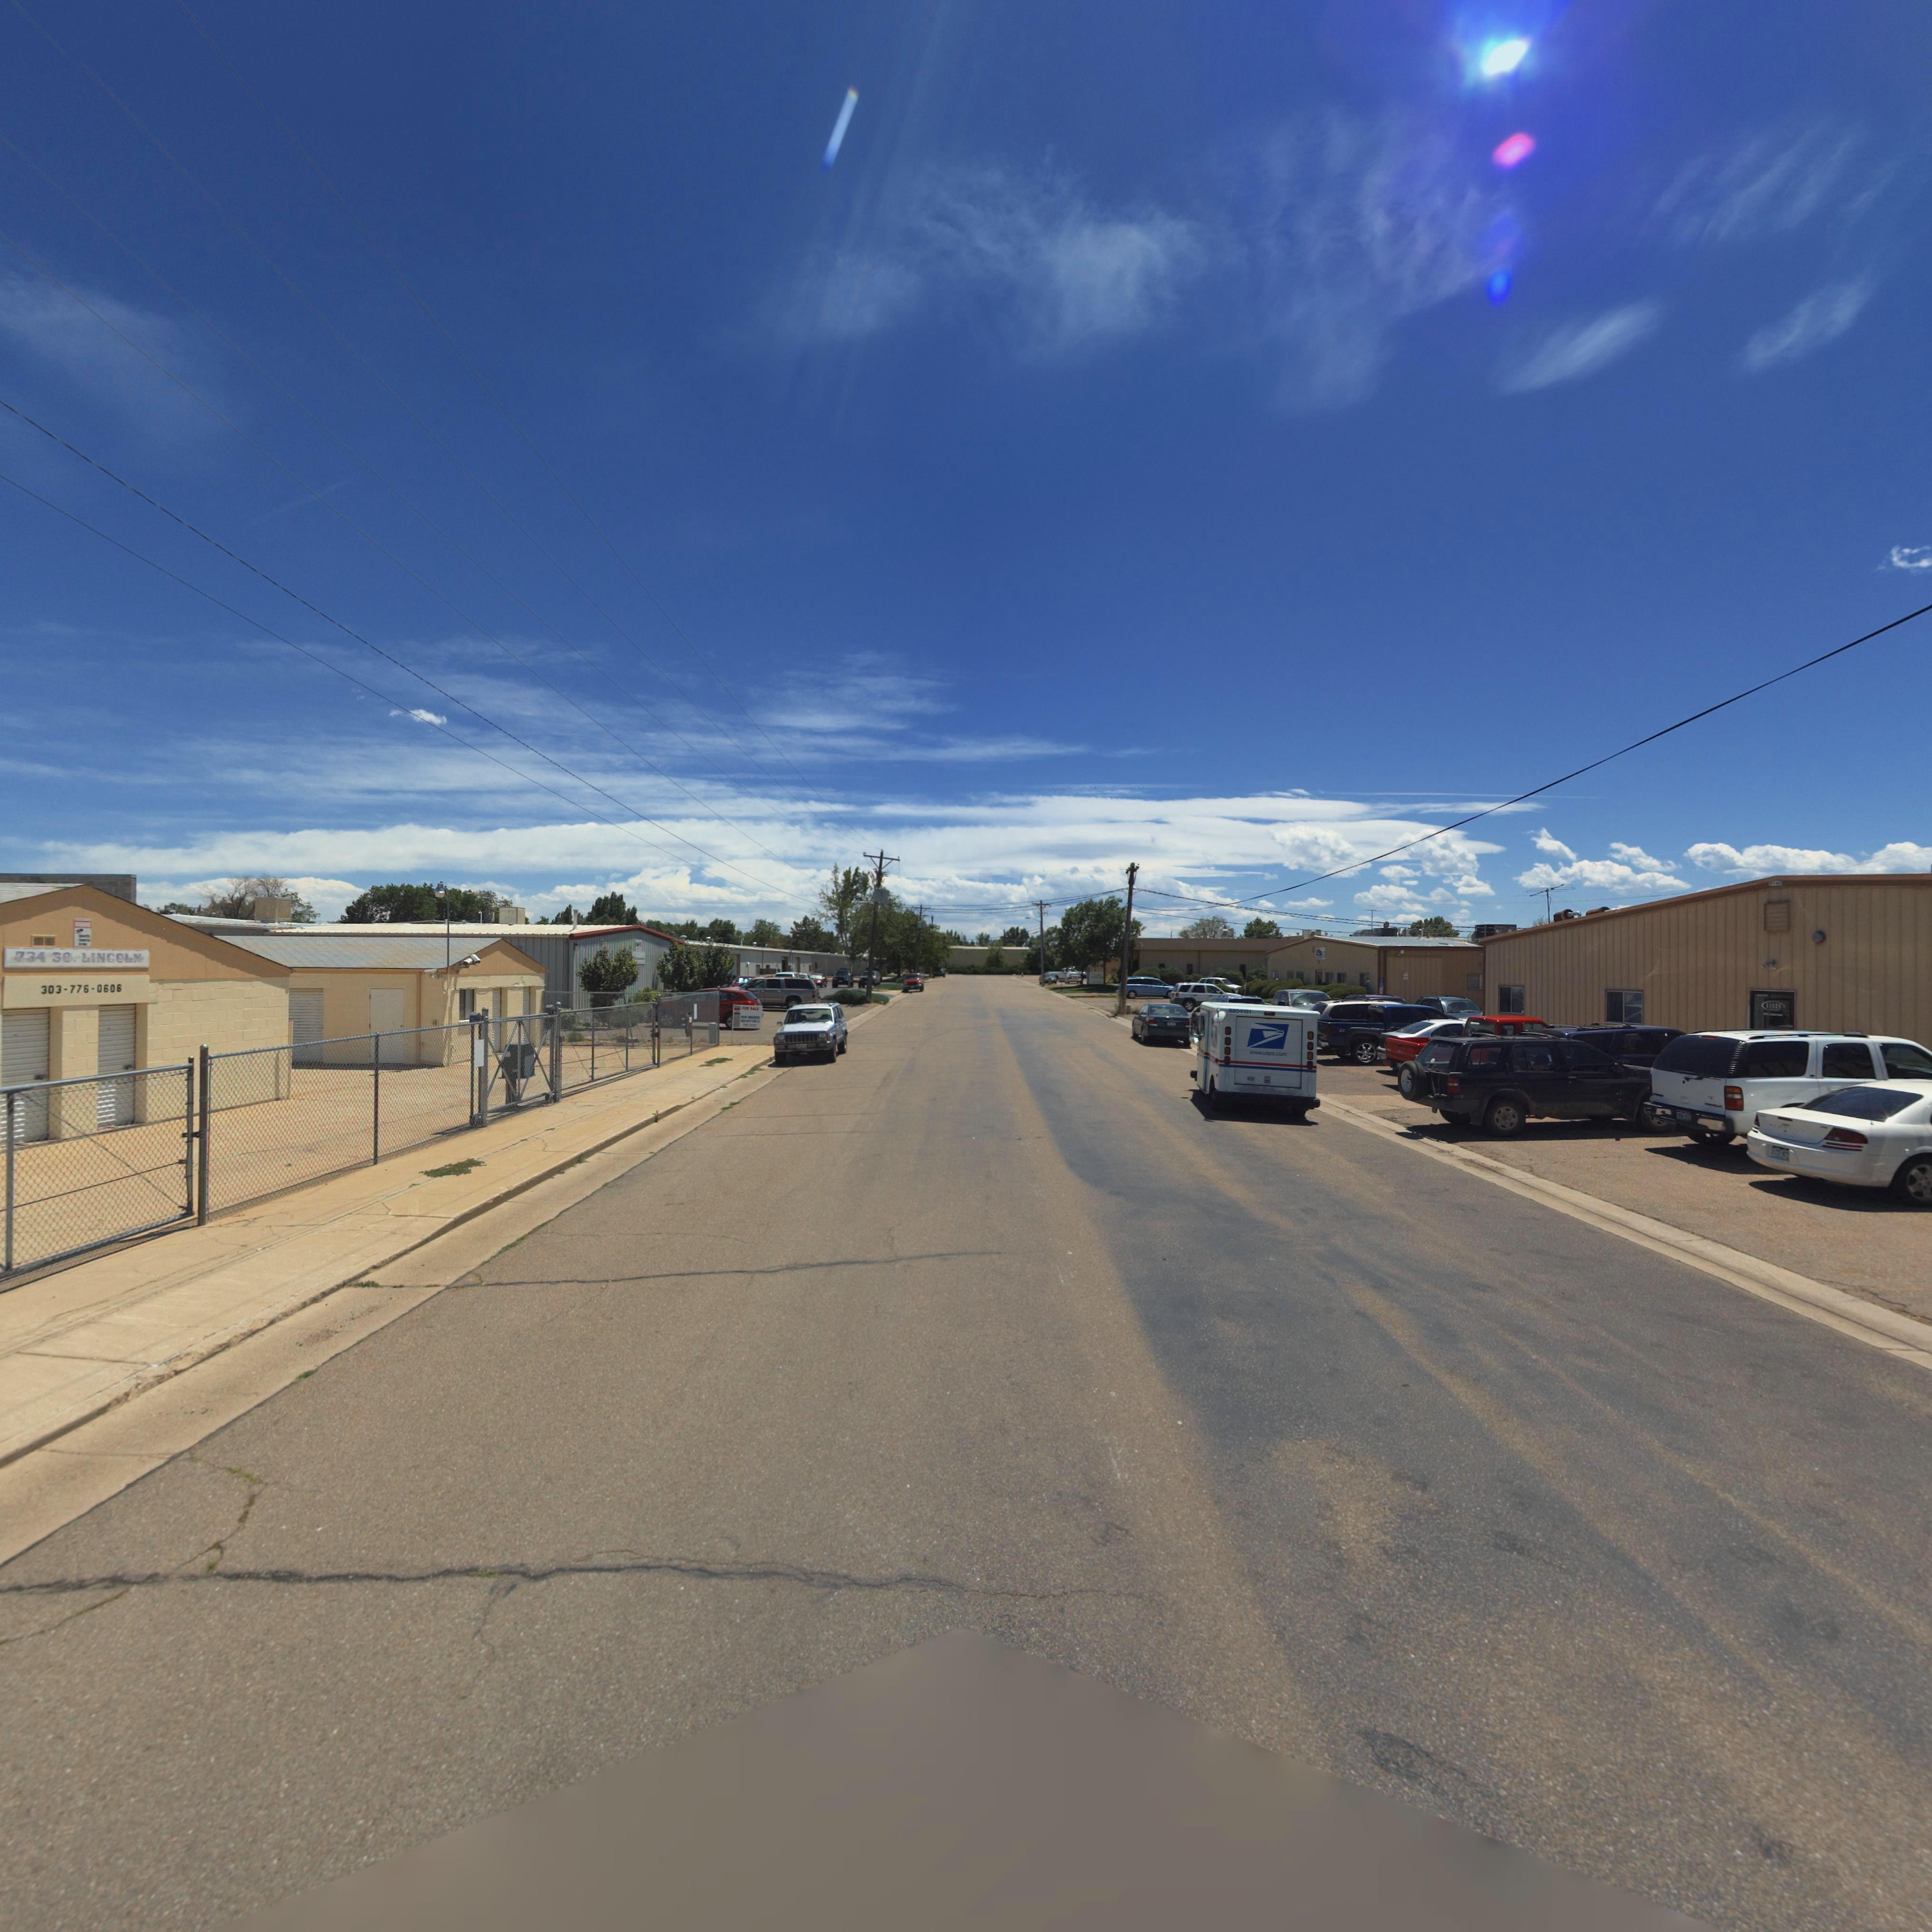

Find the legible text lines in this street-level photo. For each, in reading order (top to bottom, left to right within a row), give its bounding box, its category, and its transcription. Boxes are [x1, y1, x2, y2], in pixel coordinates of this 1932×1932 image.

[635, 941, 641, 947] BusinessName: H**E
[15, 951, 46, 963] StreetNumber: 734
[51, 951, 141, 963] StreetName: SO. LINCOLN
[1765, 1002, 1781, 1009] BusinessName: G****